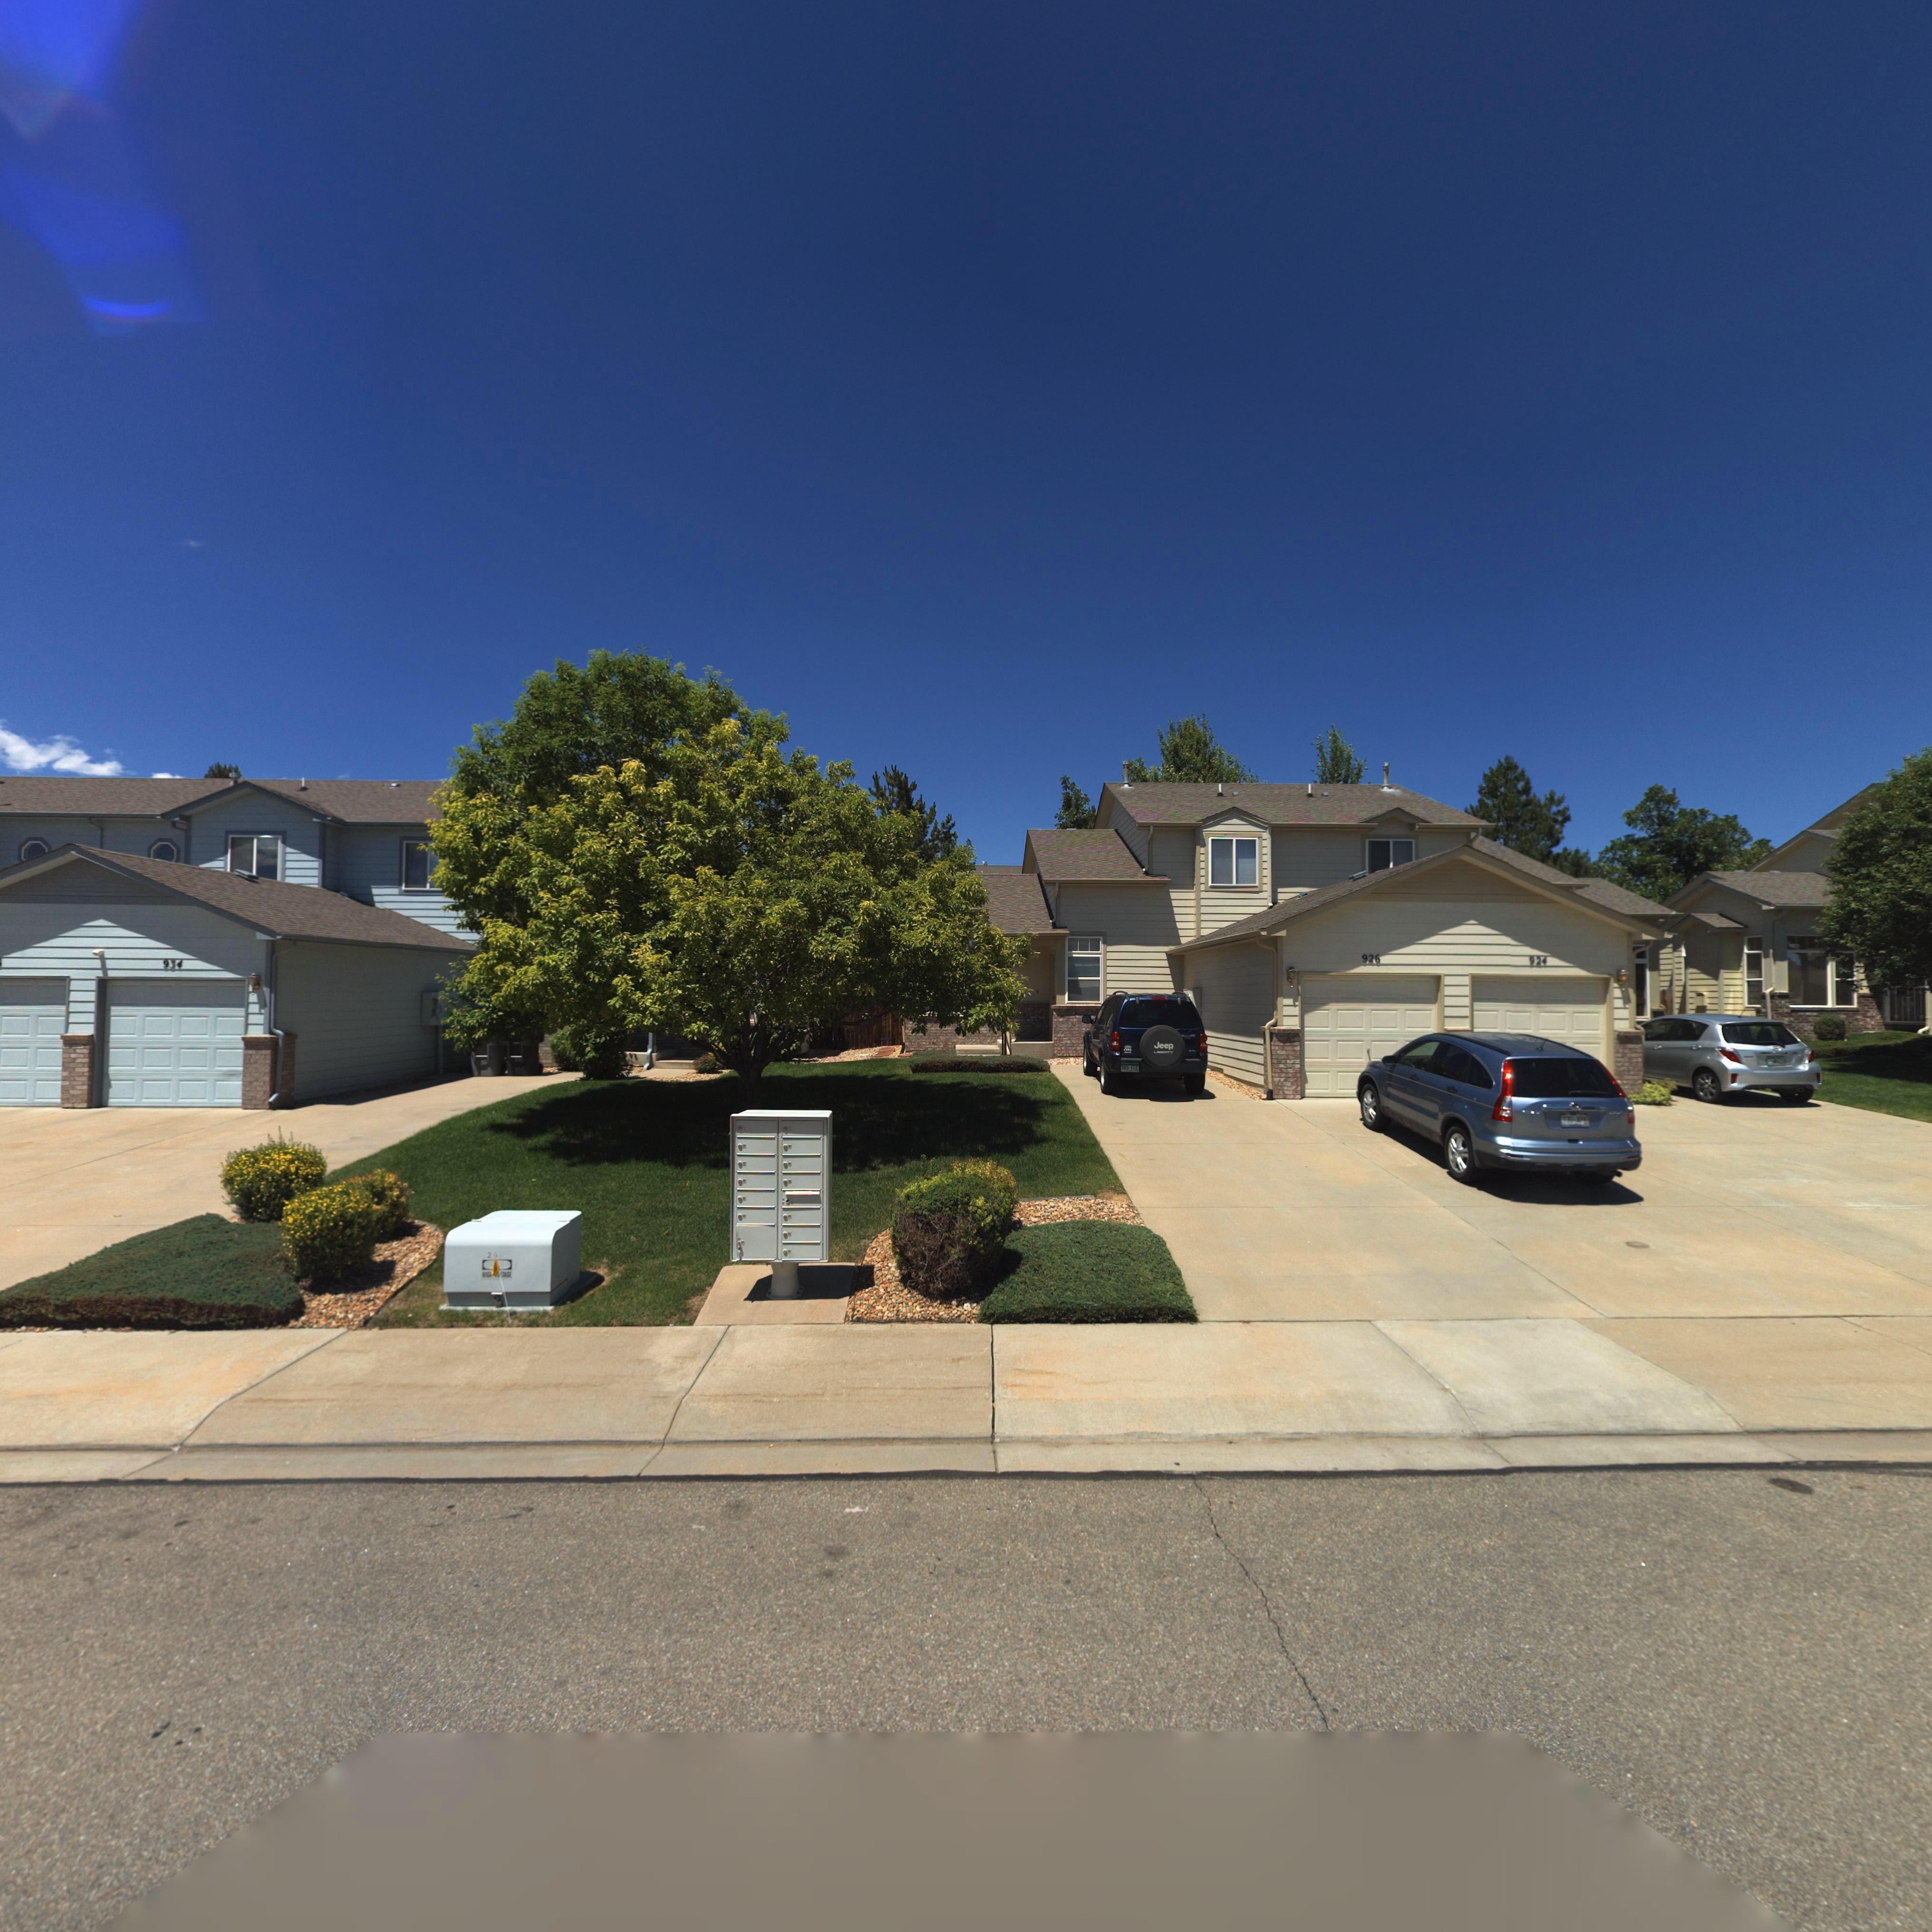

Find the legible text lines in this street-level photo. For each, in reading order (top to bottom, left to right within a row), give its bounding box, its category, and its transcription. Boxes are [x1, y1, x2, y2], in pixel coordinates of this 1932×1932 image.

[162, 958, 184, 969] StreetNumber: 934
[1361, 953, 1380, 963] StreetNumber: 926
[1528, 955, 1549, 966] StreetNumber: 924